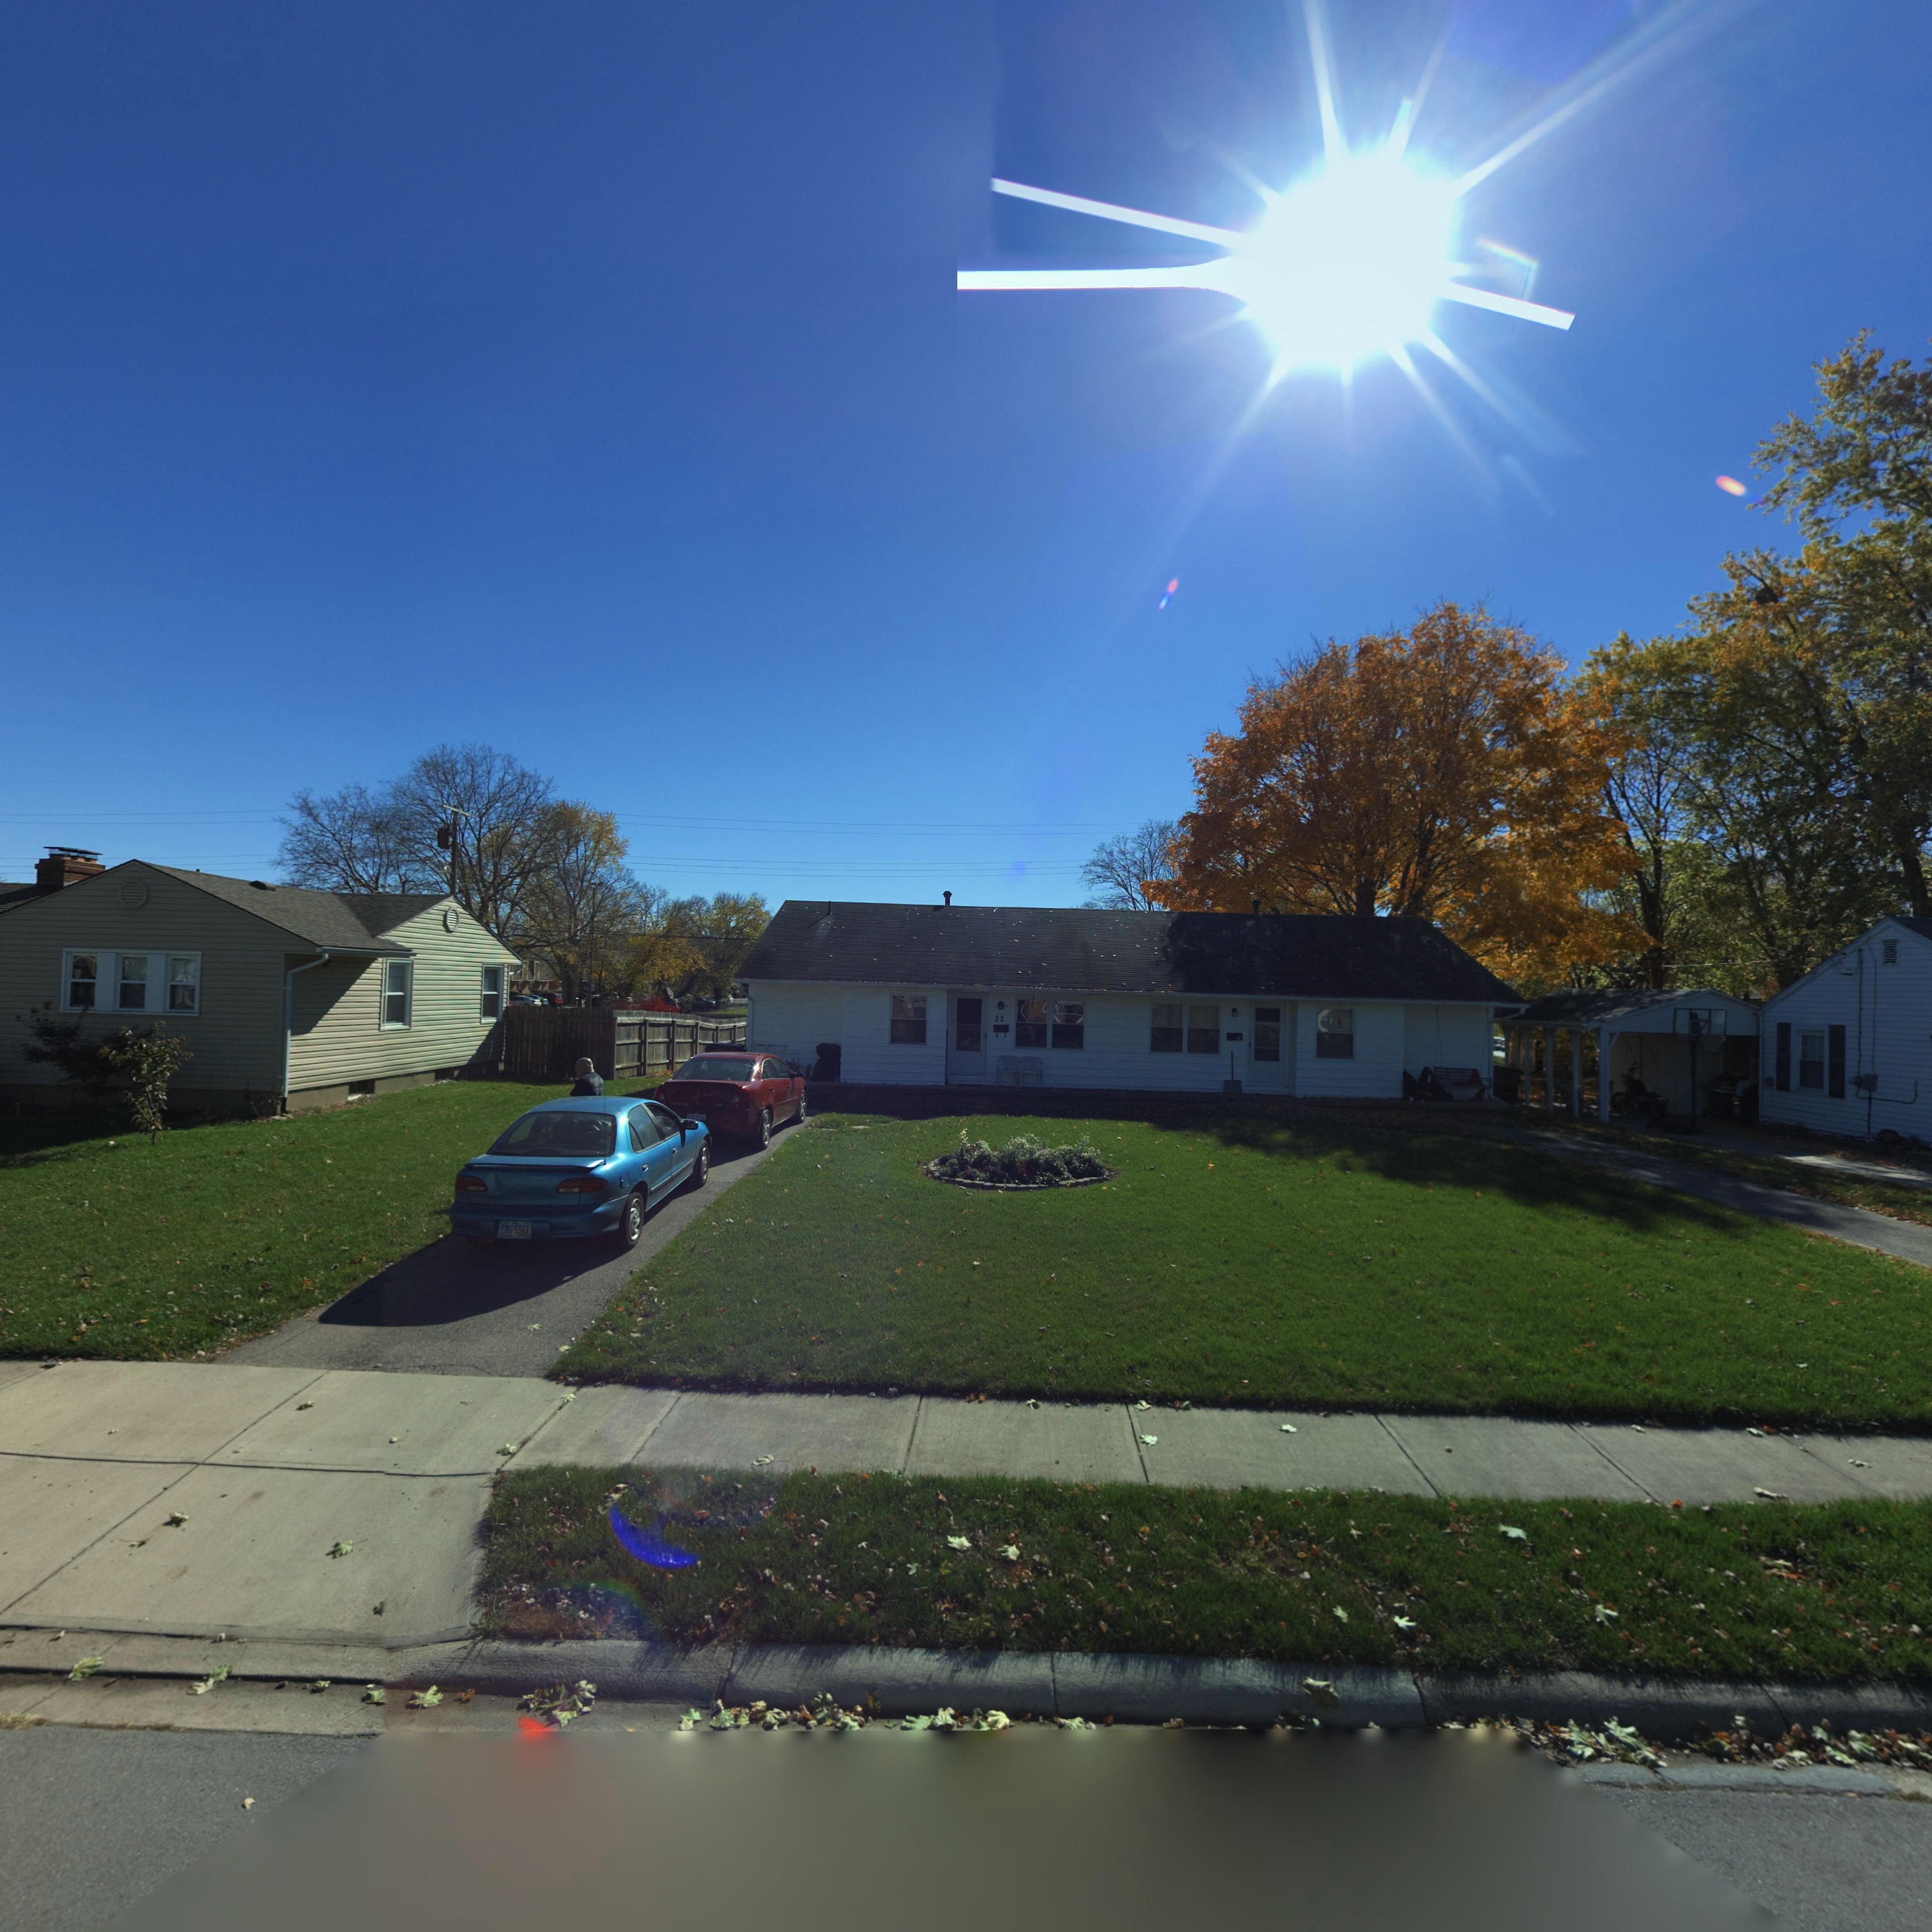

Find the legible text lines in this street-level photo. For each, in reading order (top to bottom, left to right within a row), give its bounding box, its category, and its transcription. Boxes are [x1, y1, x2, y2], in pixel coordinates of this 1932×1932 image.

[993, 1015, 1005, 1023] StreetNumber: 22
[500, 1224, 531, 1236] None: EERU*55*1